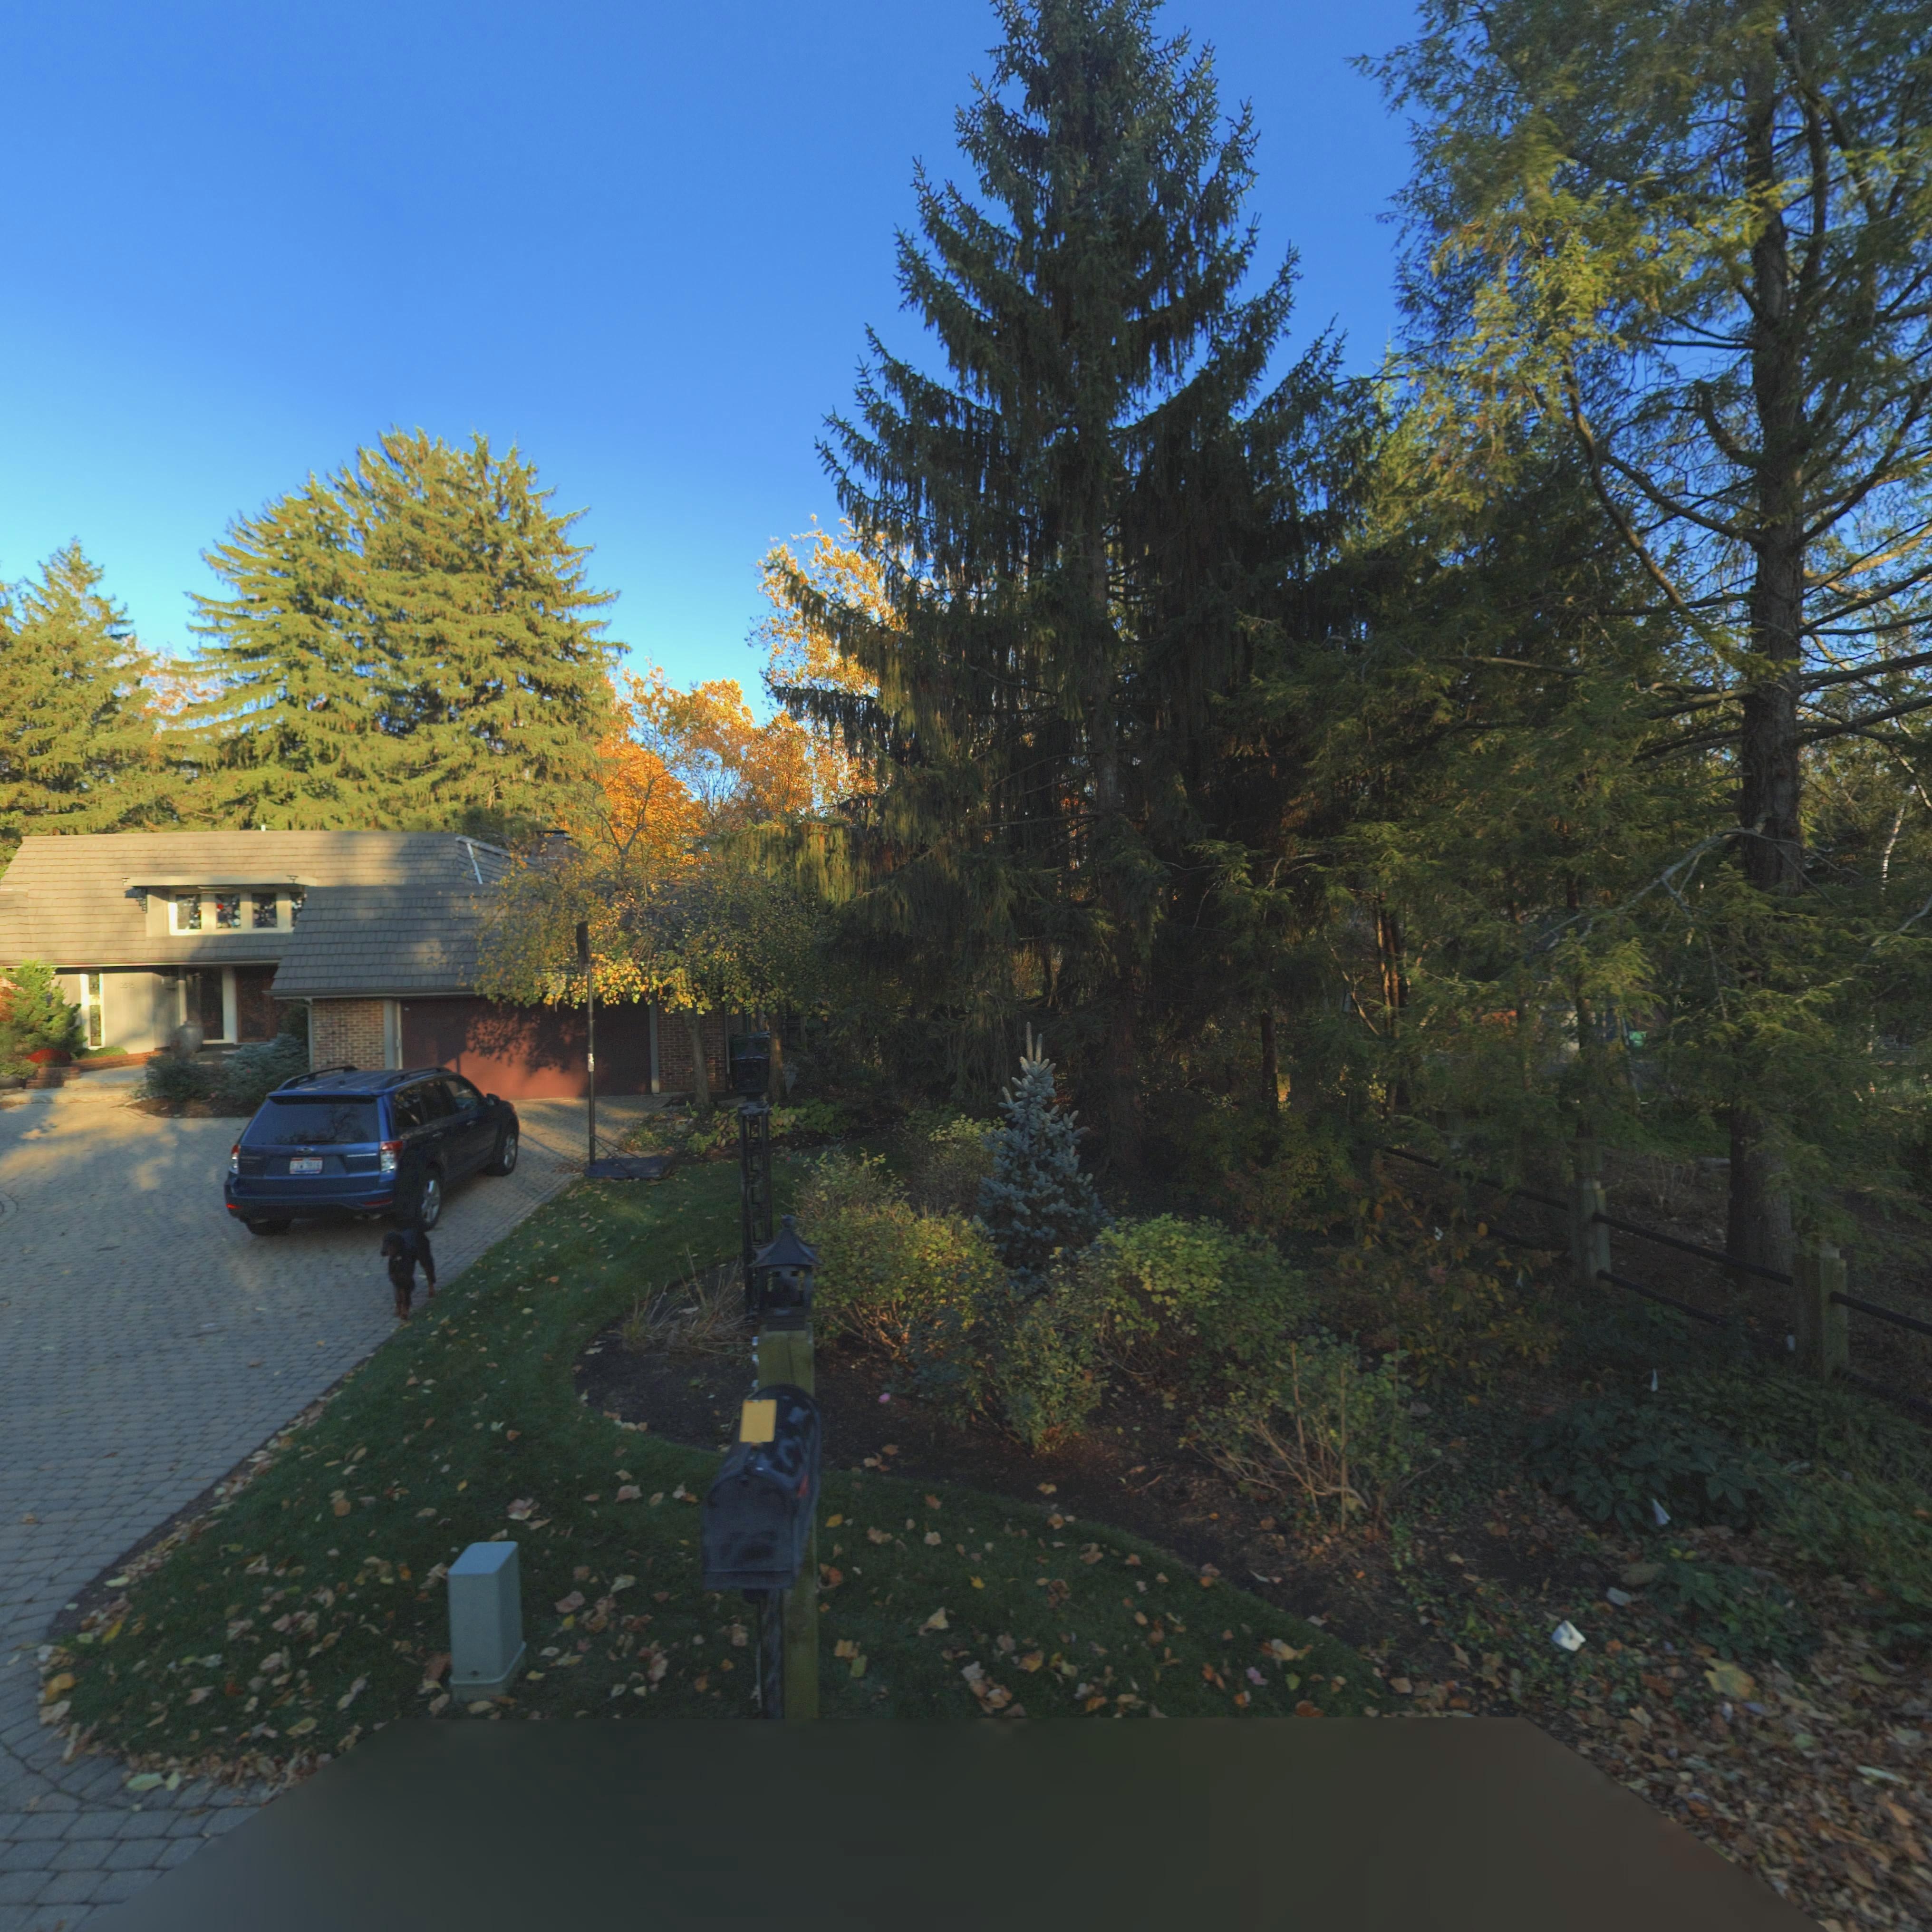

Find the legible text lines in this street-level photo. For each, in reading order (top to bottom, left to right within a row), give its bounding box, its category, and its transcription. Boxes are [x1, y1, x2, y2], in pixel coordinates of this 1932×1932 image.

[118, 981, 135, 989] StreetNumber: 3516